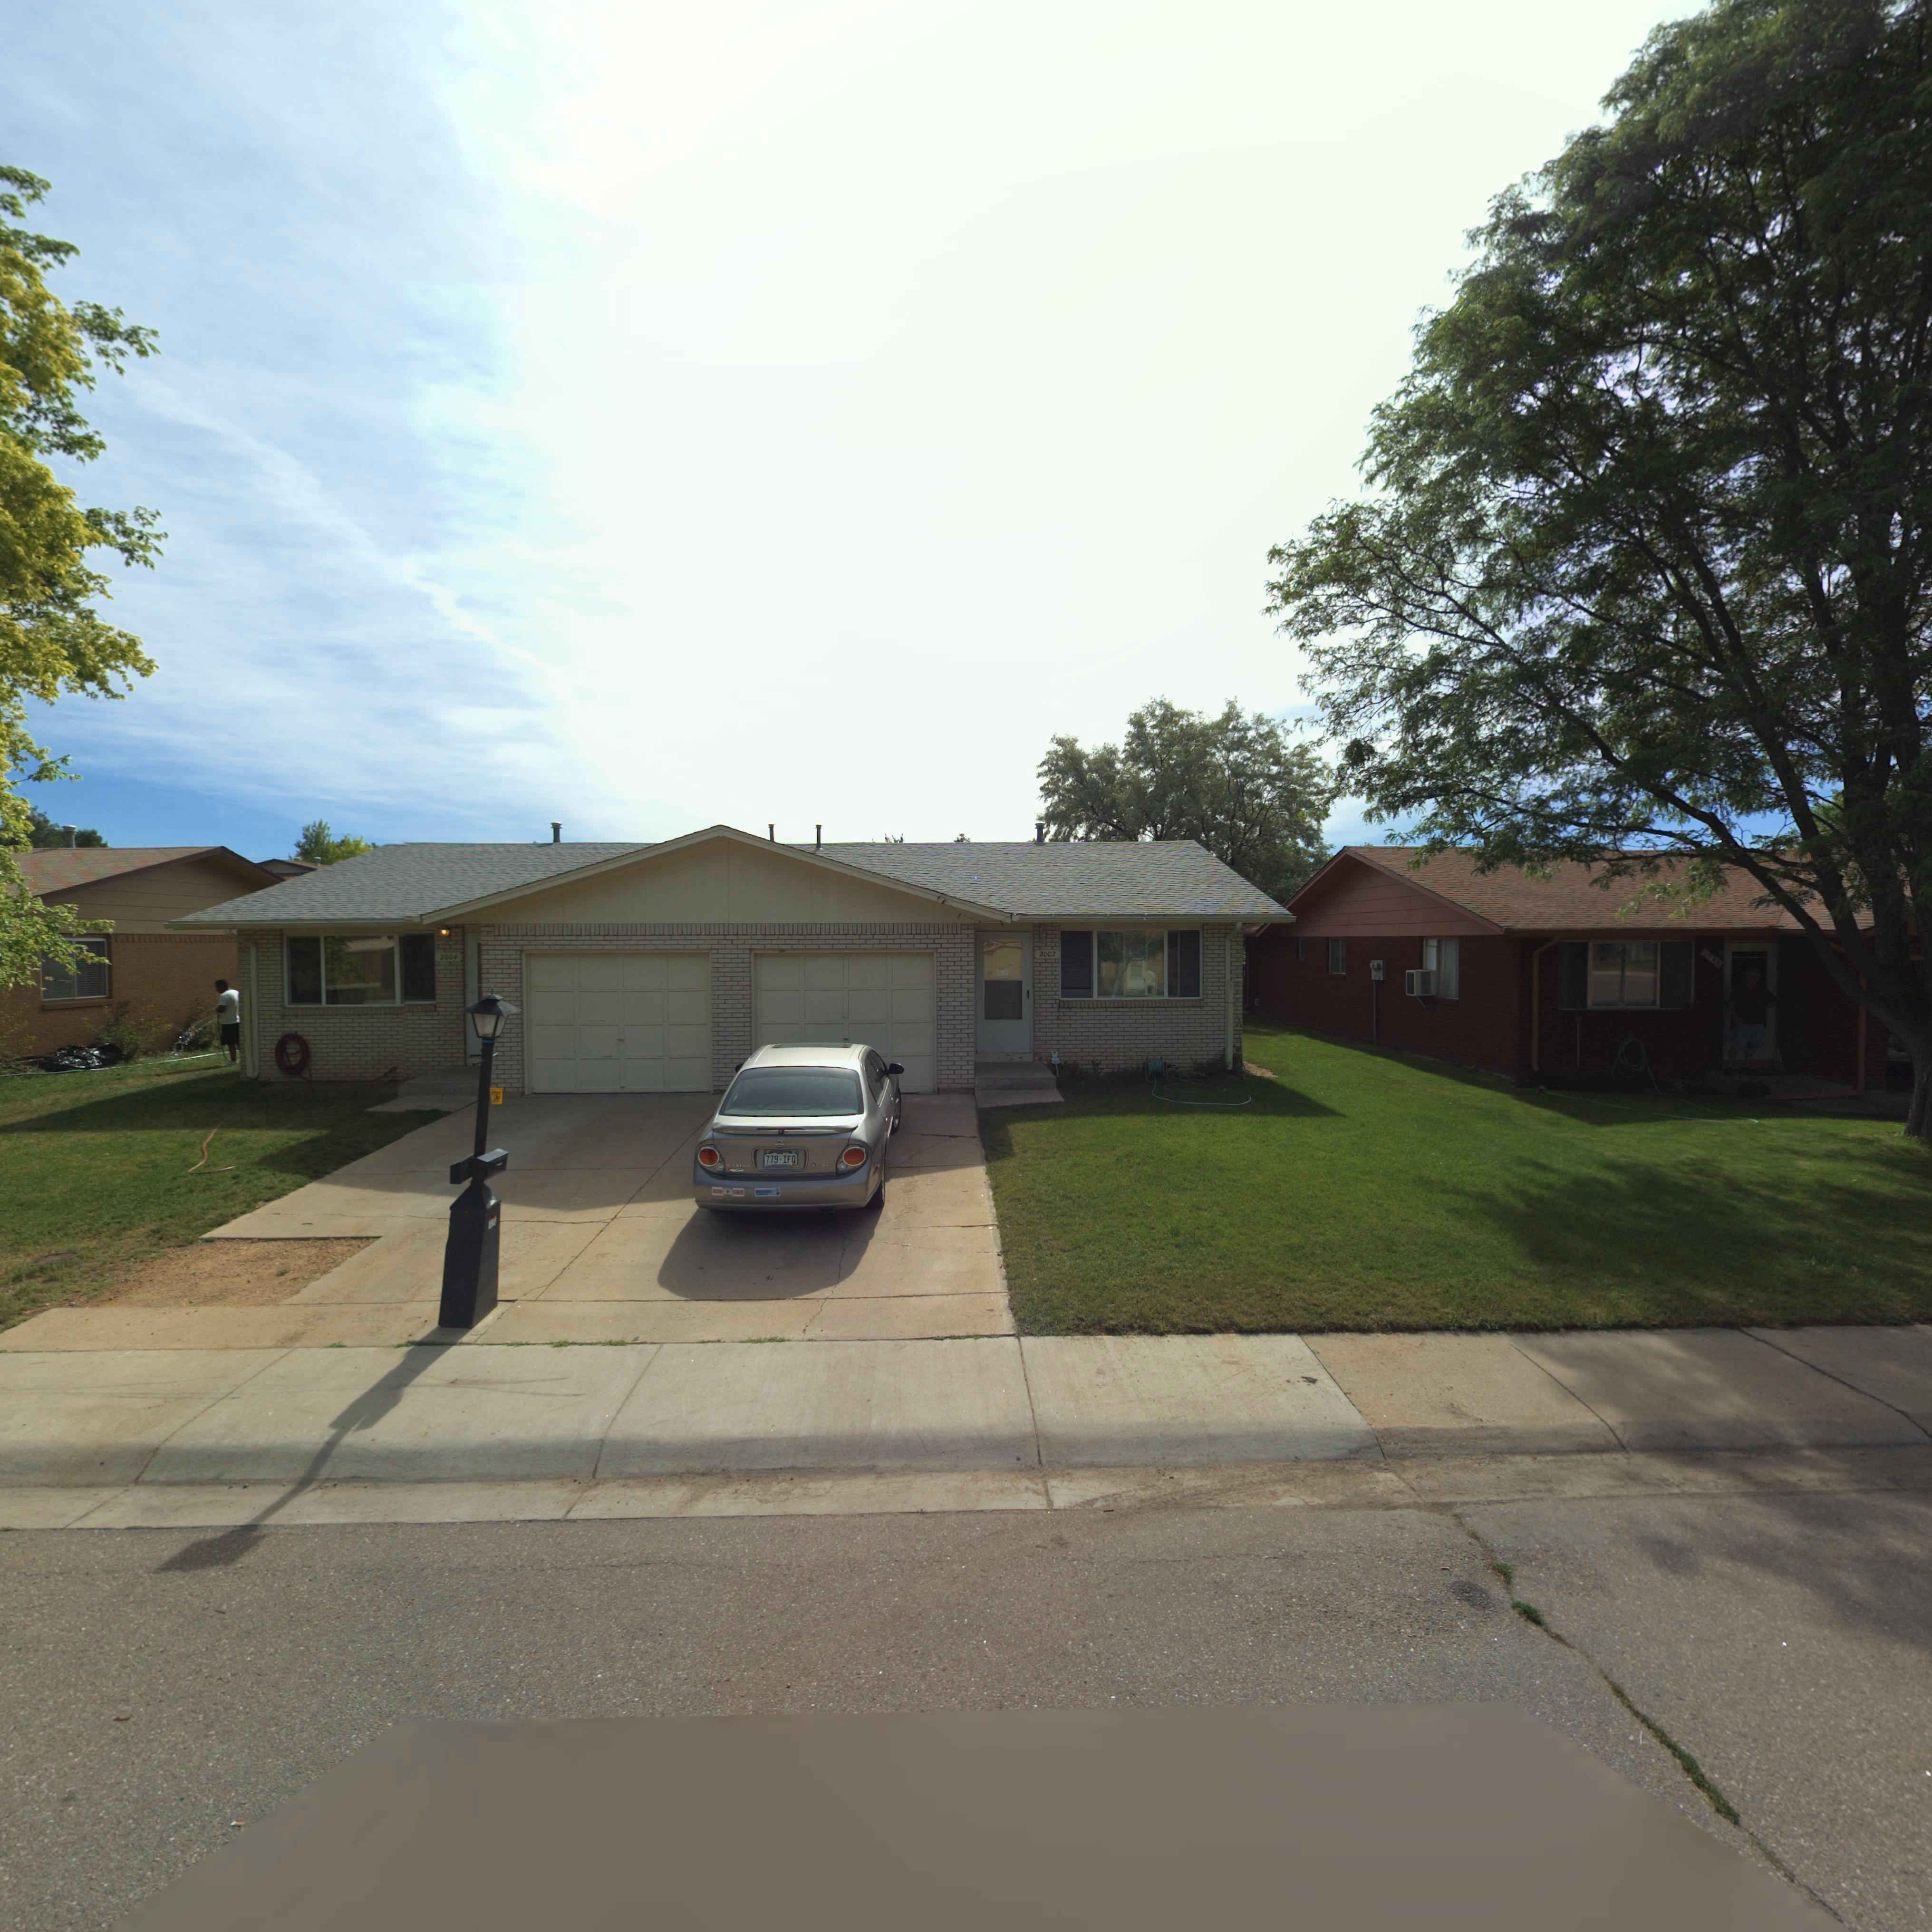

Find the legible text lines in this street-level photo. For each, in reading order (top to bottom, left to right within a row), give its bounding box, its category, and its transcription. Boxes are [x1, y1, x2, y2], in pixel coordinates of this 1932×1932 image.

[439, 953, 458, 960] StreetNumber: 2004
[1038, 950, 1055, 956] StreetNumber: 2002
[1703, 950, 1720, 966] StreetNumber: 19**